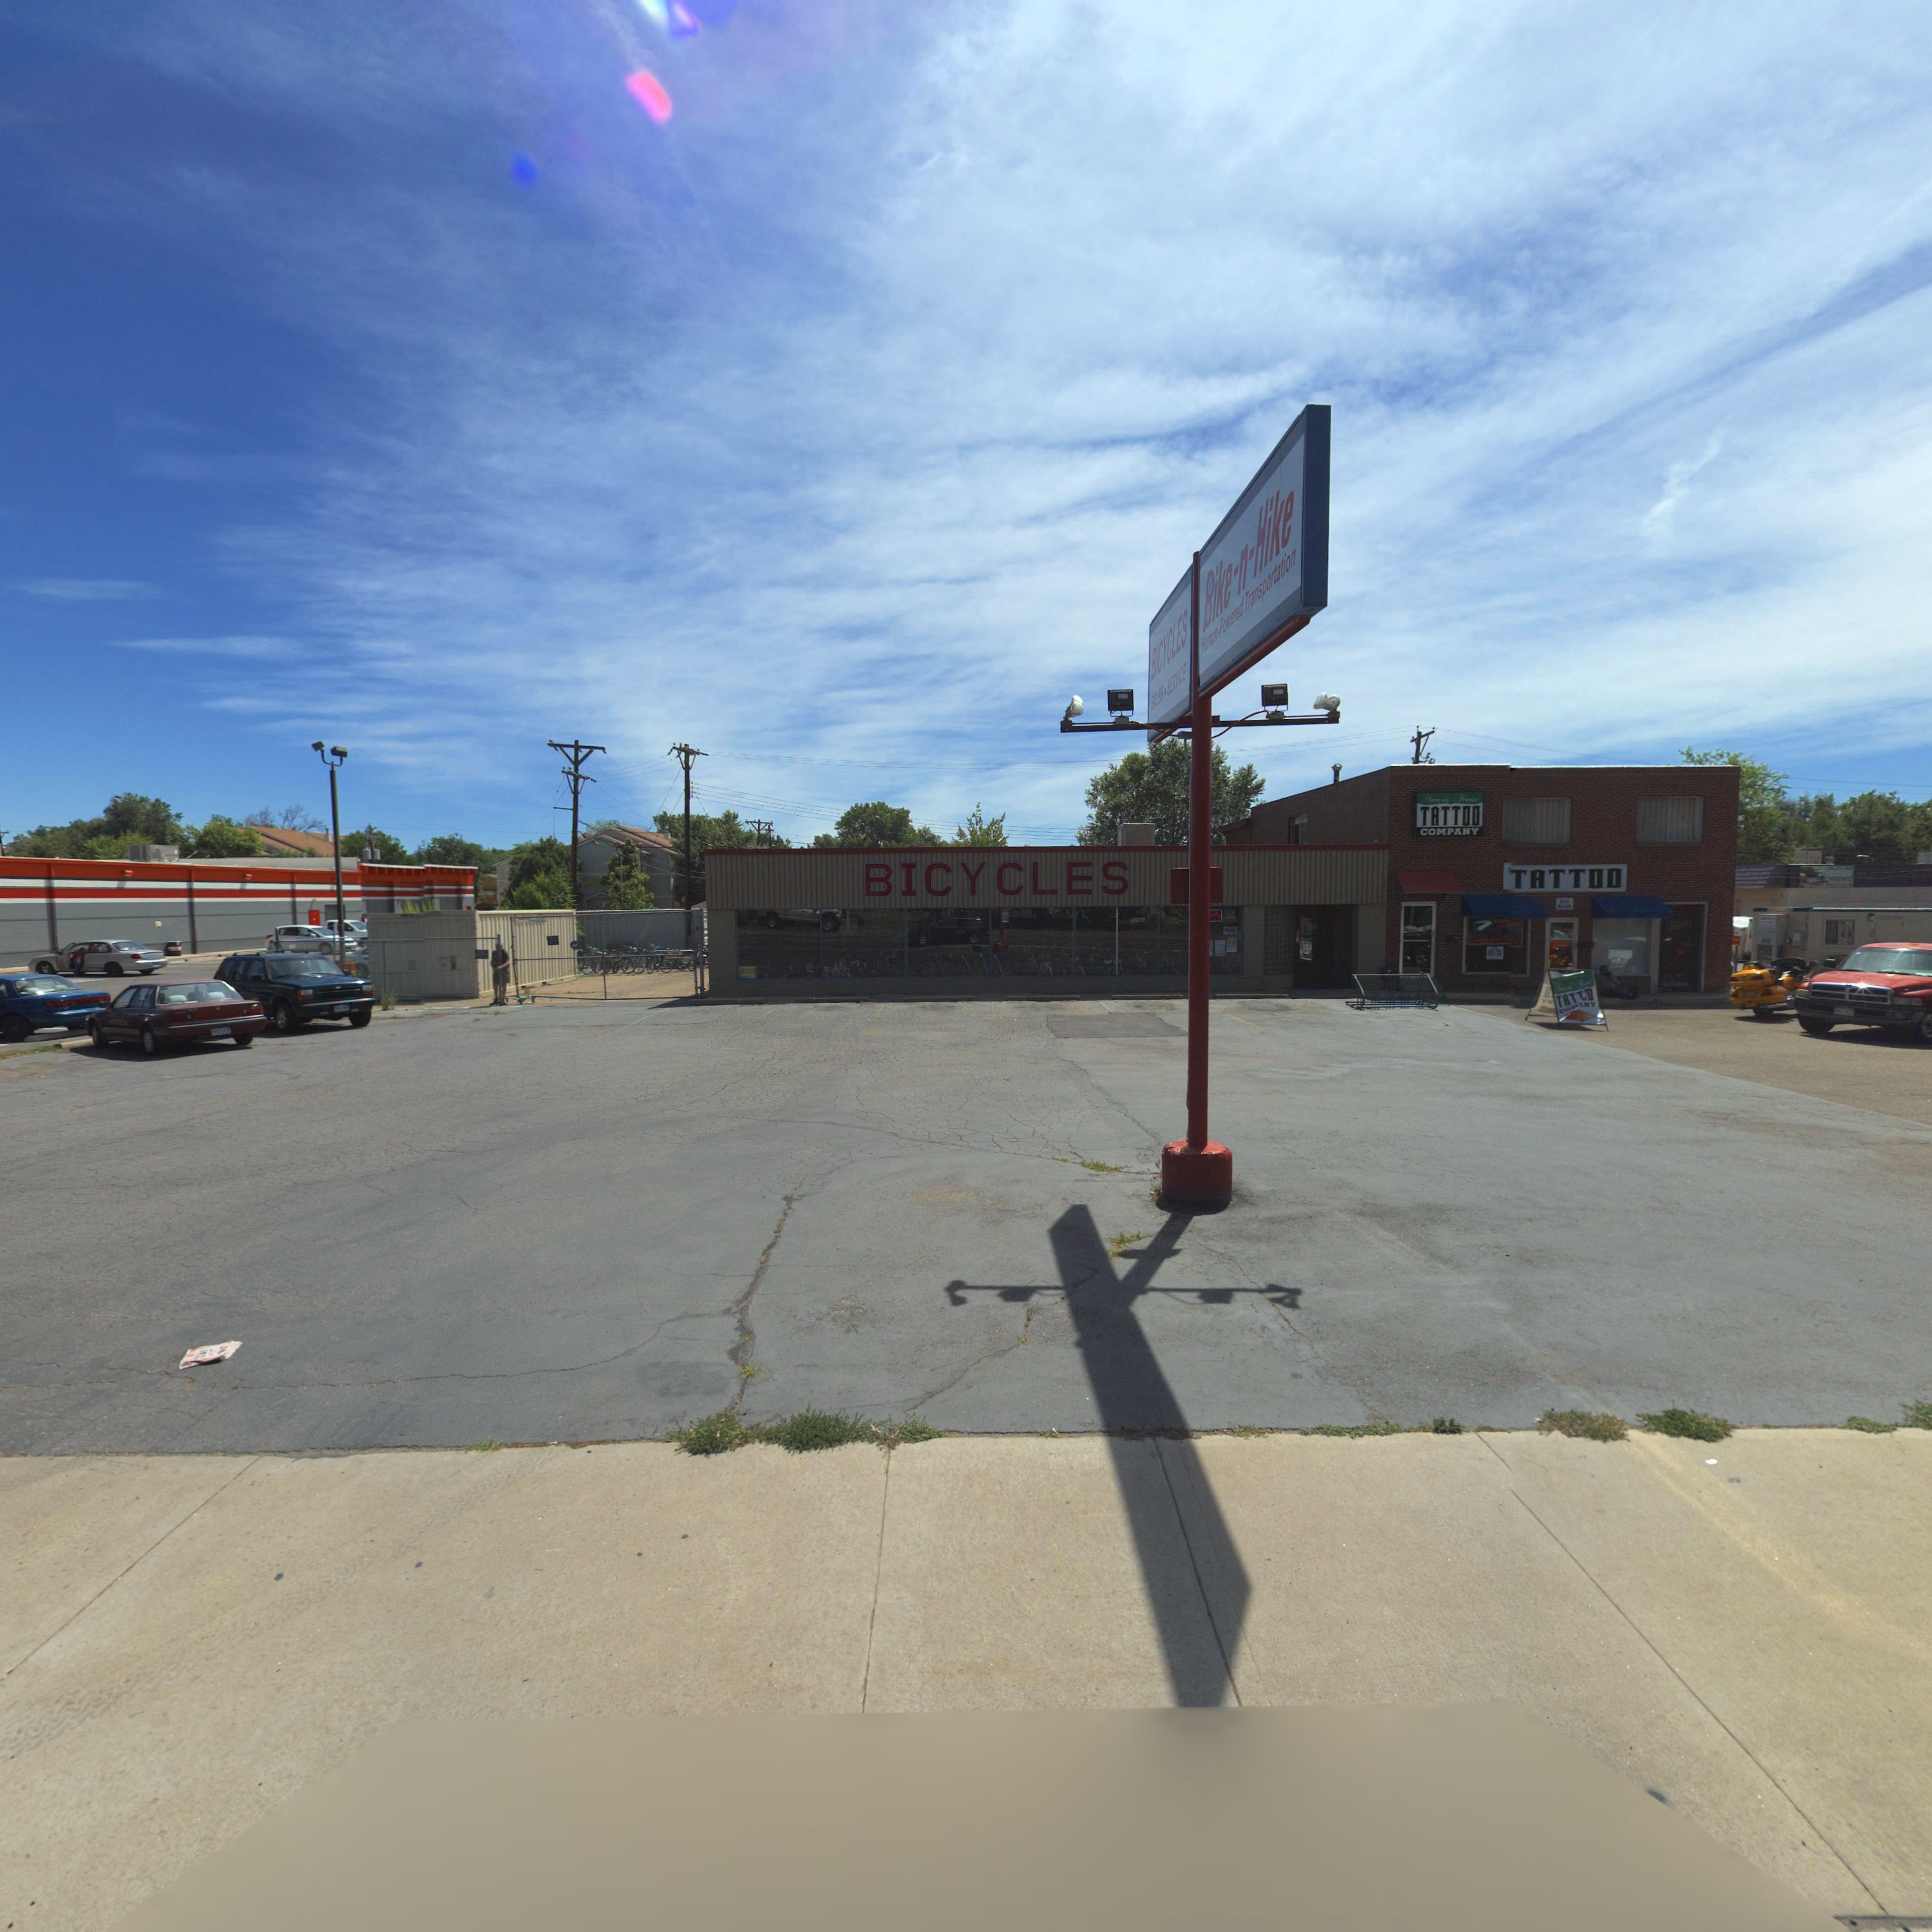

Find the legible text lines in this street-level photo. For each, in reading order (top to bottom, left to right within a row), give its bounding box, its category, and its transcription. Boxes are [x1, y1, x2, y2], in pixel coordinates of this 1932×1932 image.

[1202, 487, 1294, 633] BusinessName: Bike-n-Hike
[1426, 793, 1480, 803] BusinessName: ****** Fi****
[1419, 805, 1480, 826] BusinessName: TATTOO
[1419, 827, 1479, 835] BusinessName: COMPANY
[1510, 867, 1622, 889] BusinessName: TATTOO
[1560, 898, 1569, 904] StreetNumber: ***2
[1558, 904, 1571, 908] StreetName: **I*